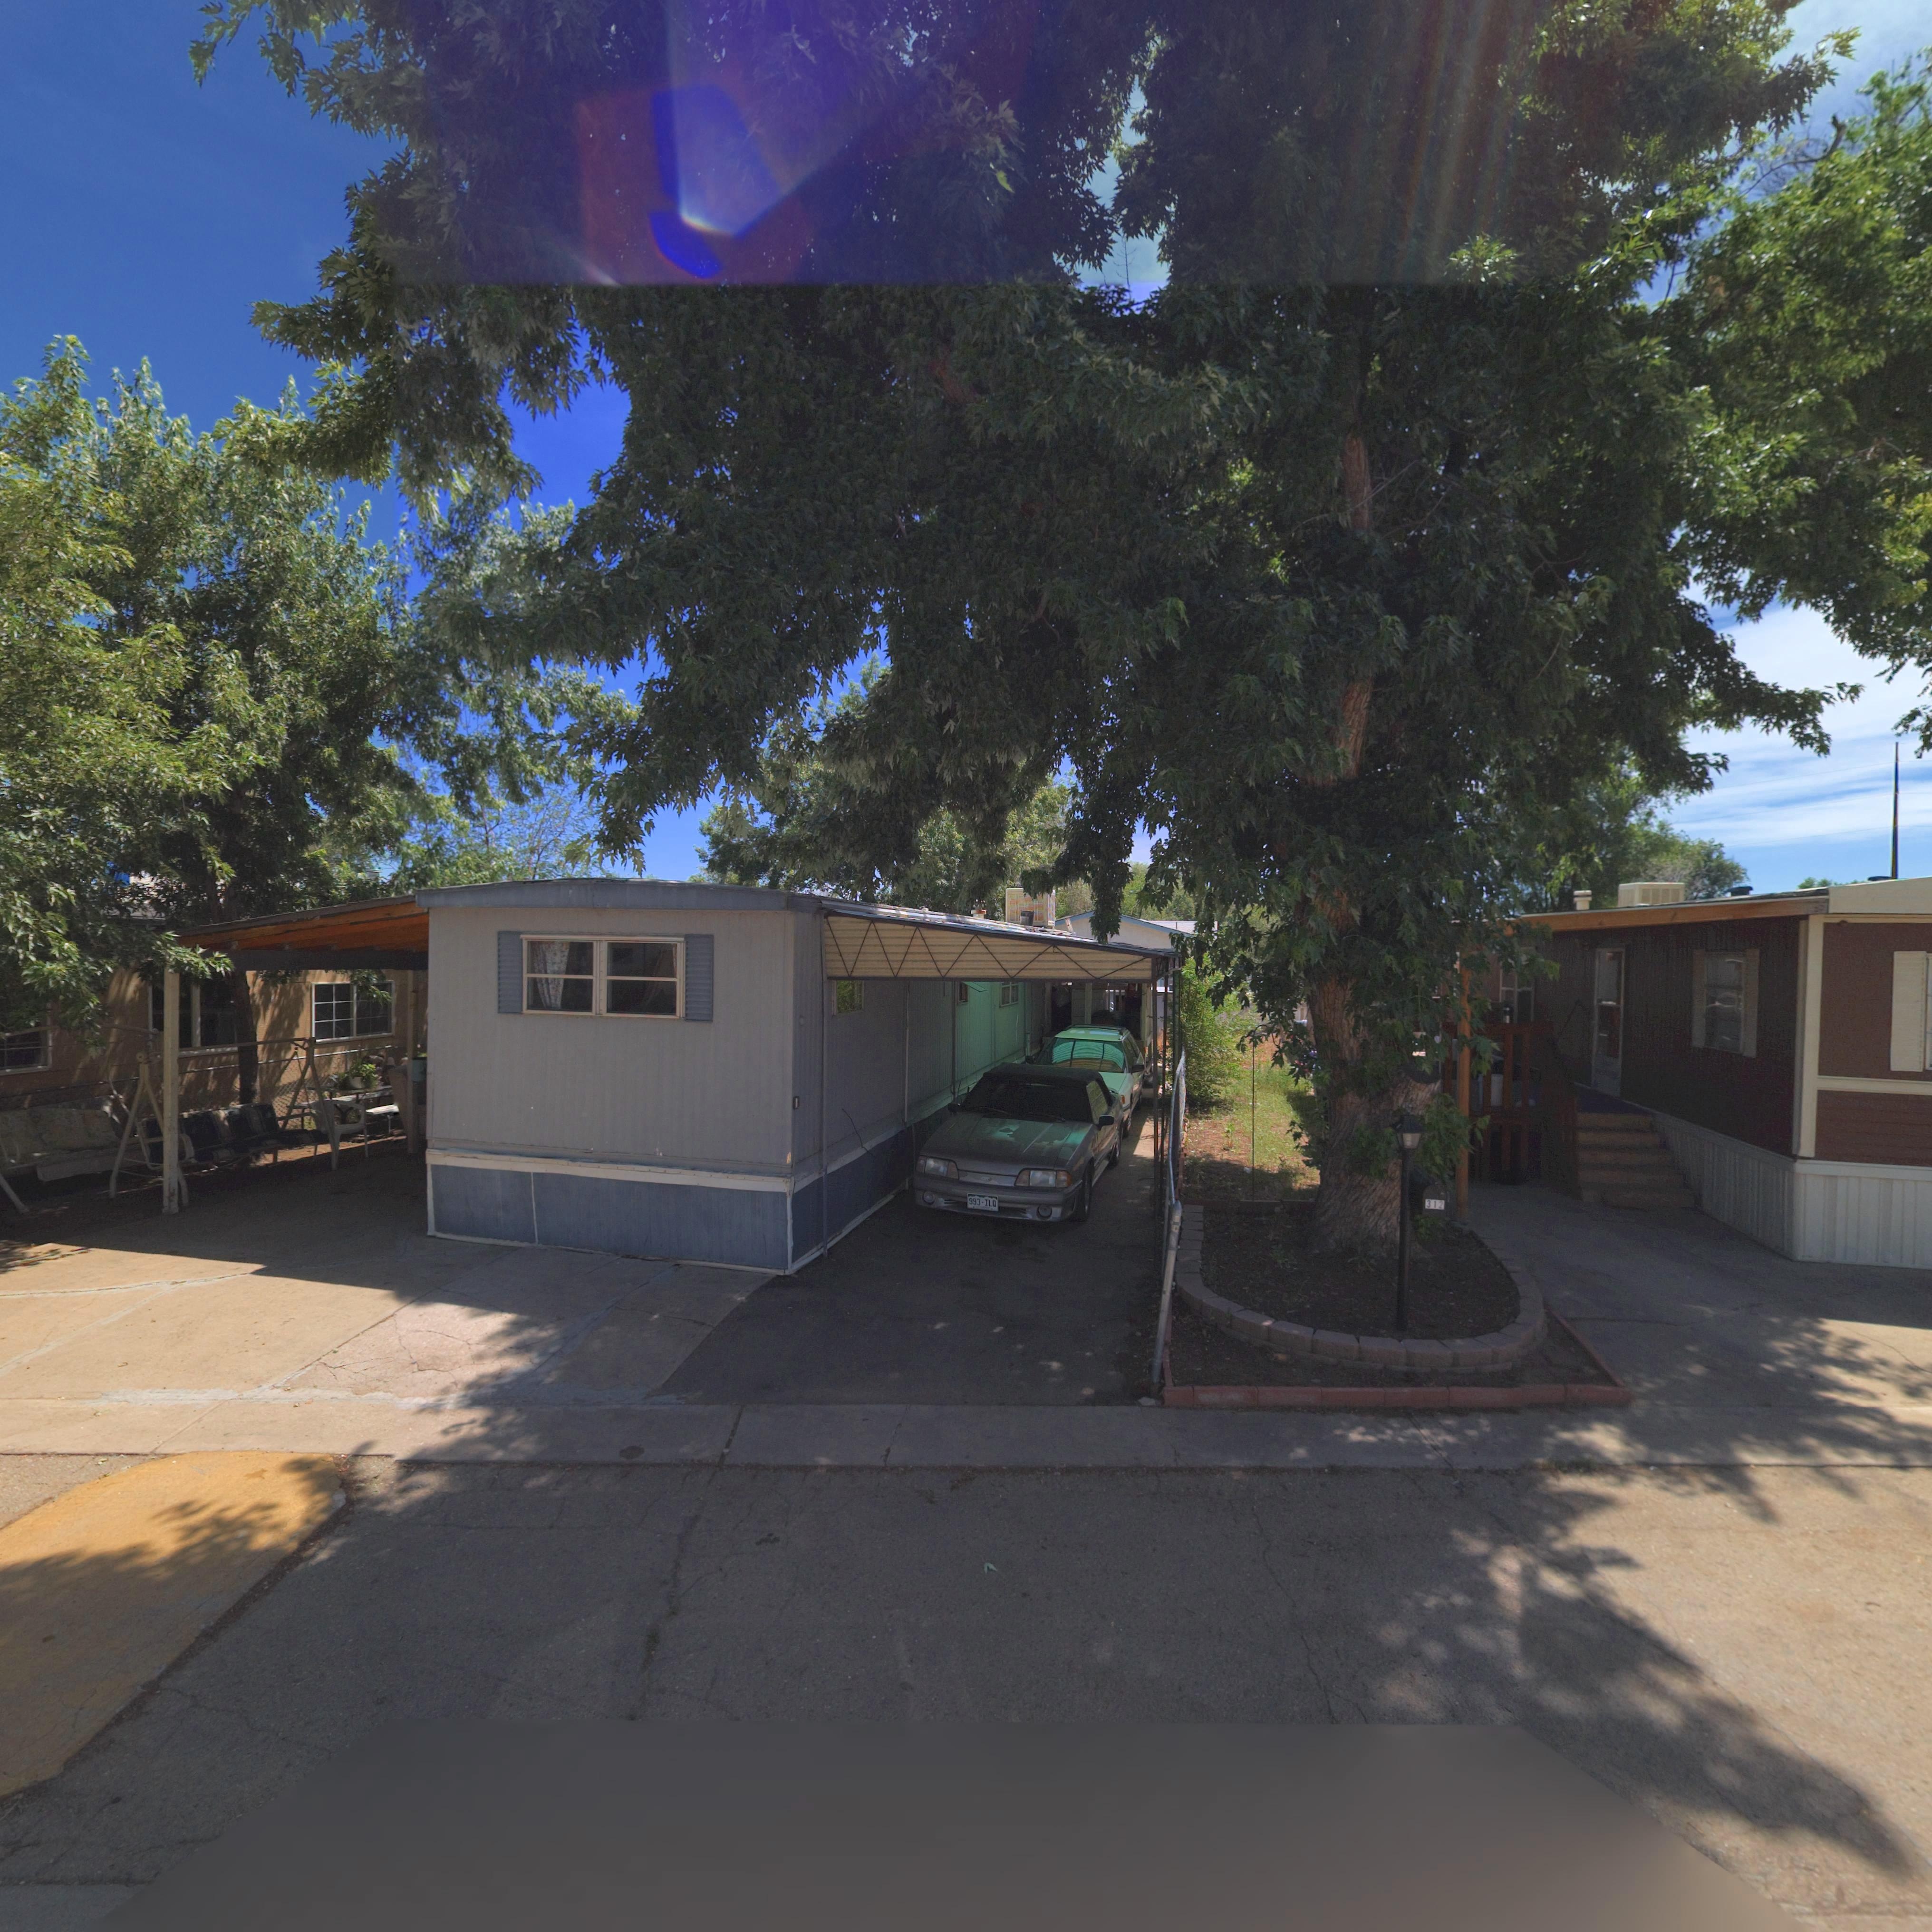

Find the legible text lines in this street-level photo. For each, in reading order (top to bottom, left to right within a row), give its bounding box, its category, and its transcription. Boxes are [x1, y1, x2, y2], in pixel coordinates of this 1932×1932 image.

[1426, 1199, 1443, 1209] StreetNumber: 312